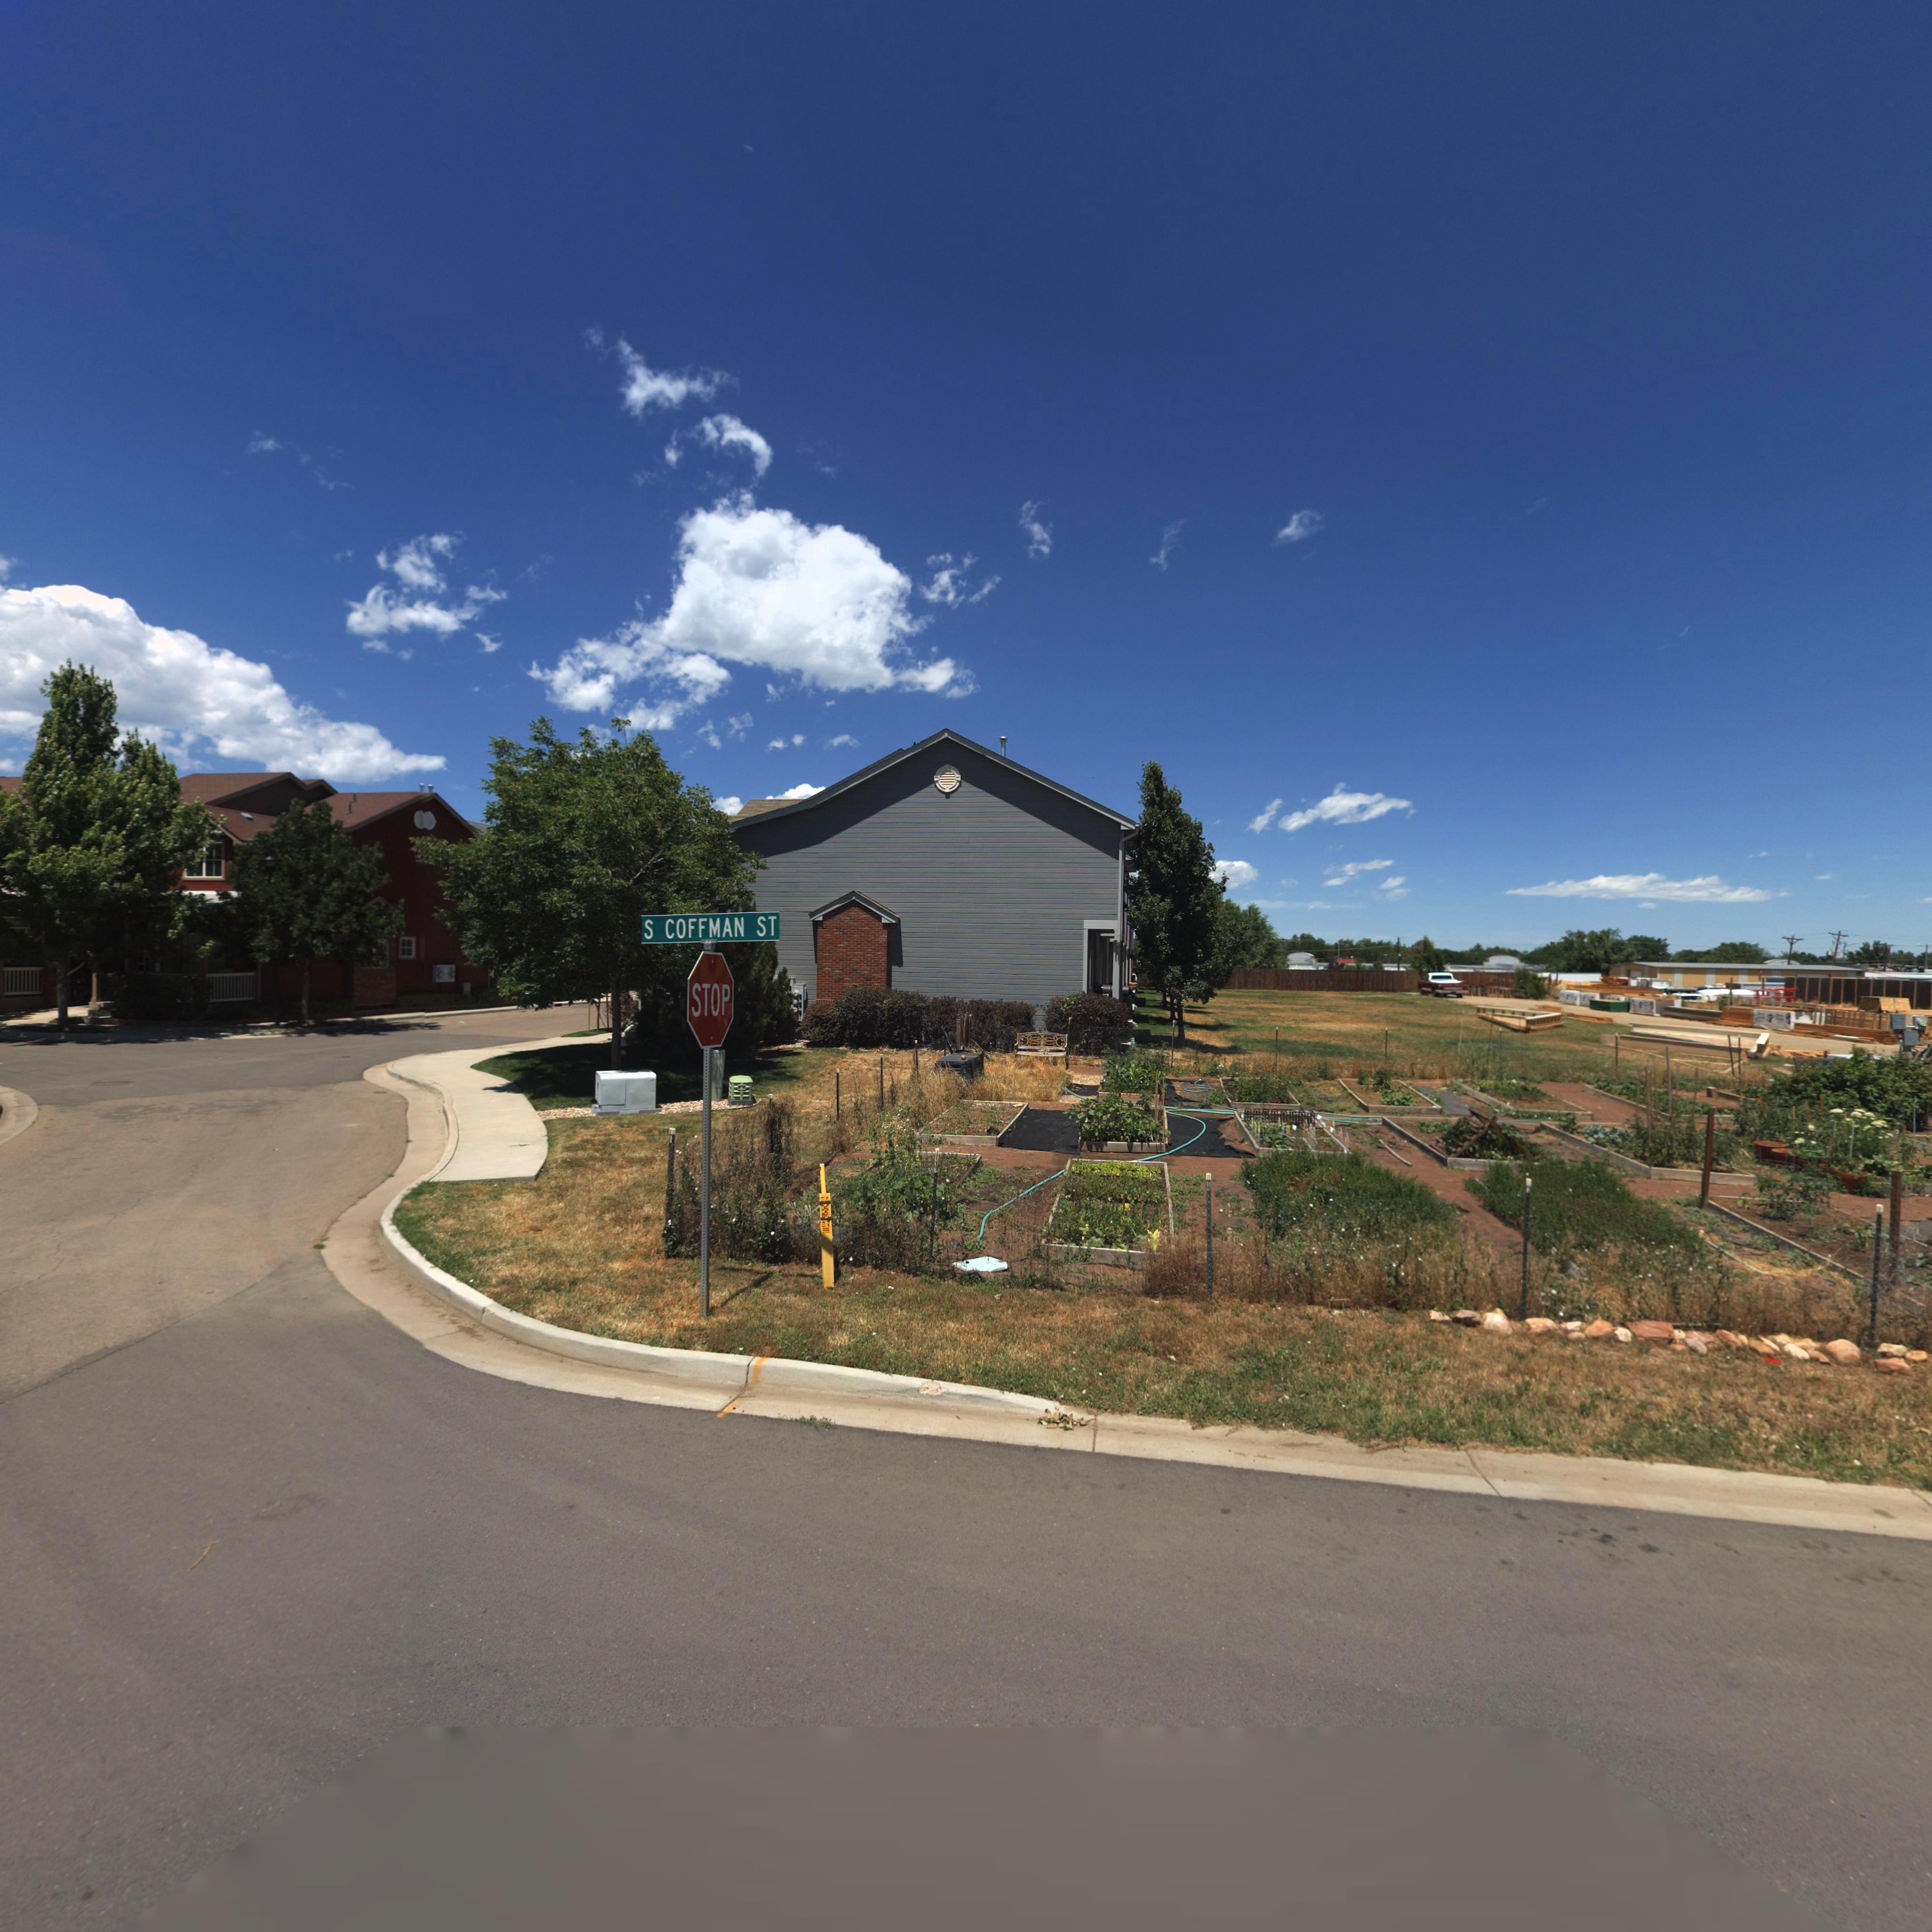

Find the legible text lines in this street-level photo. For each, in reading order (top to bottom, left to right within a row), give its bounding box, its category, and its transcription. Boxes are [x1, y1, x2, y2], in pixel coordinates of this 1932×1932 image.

[644, 916, 777, 940] StreetName: S COFFMAN ST